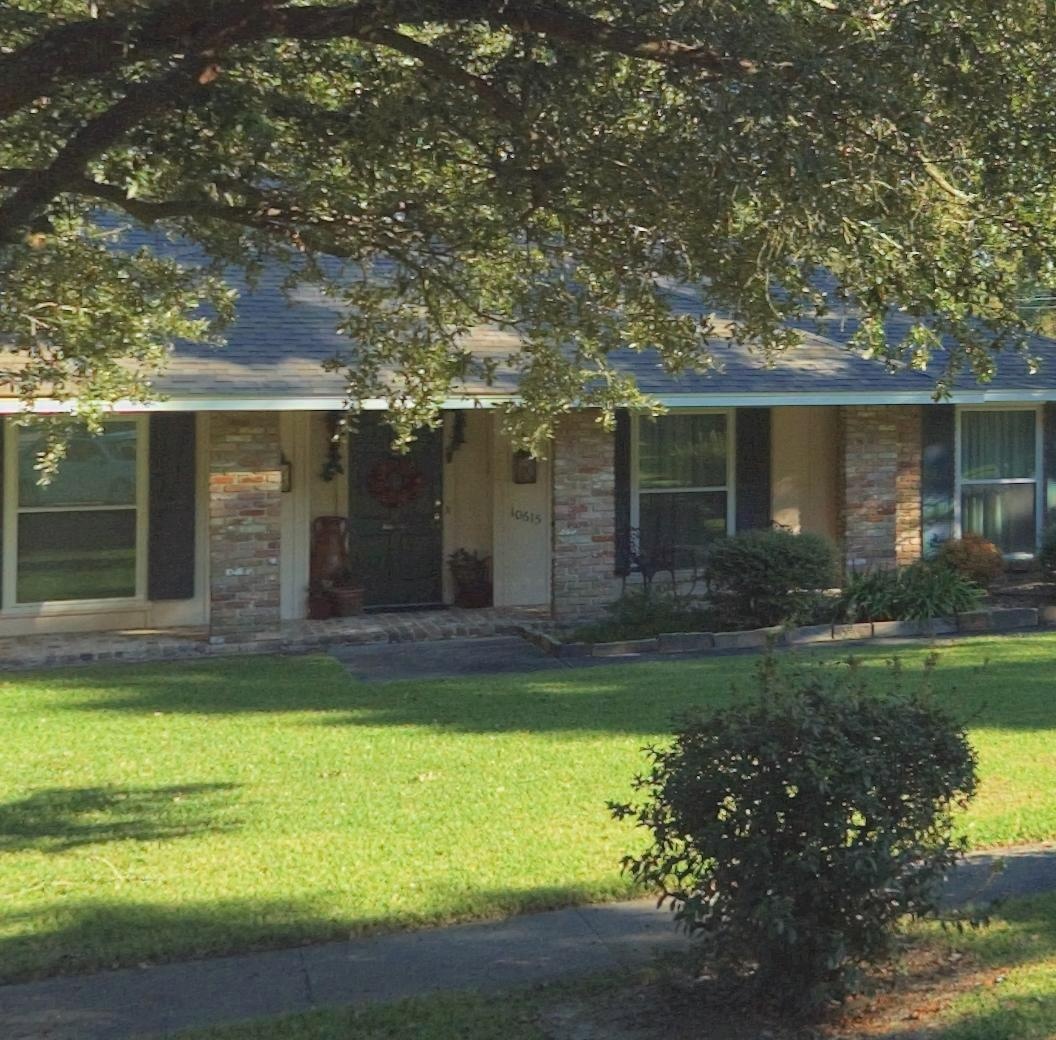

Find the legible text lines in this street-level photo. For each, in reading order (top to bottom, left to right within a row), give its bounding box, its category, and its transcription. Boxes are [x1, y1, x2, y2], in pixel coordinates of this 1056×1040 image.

[508, 505, 543, 527] StreetNumber: 10615